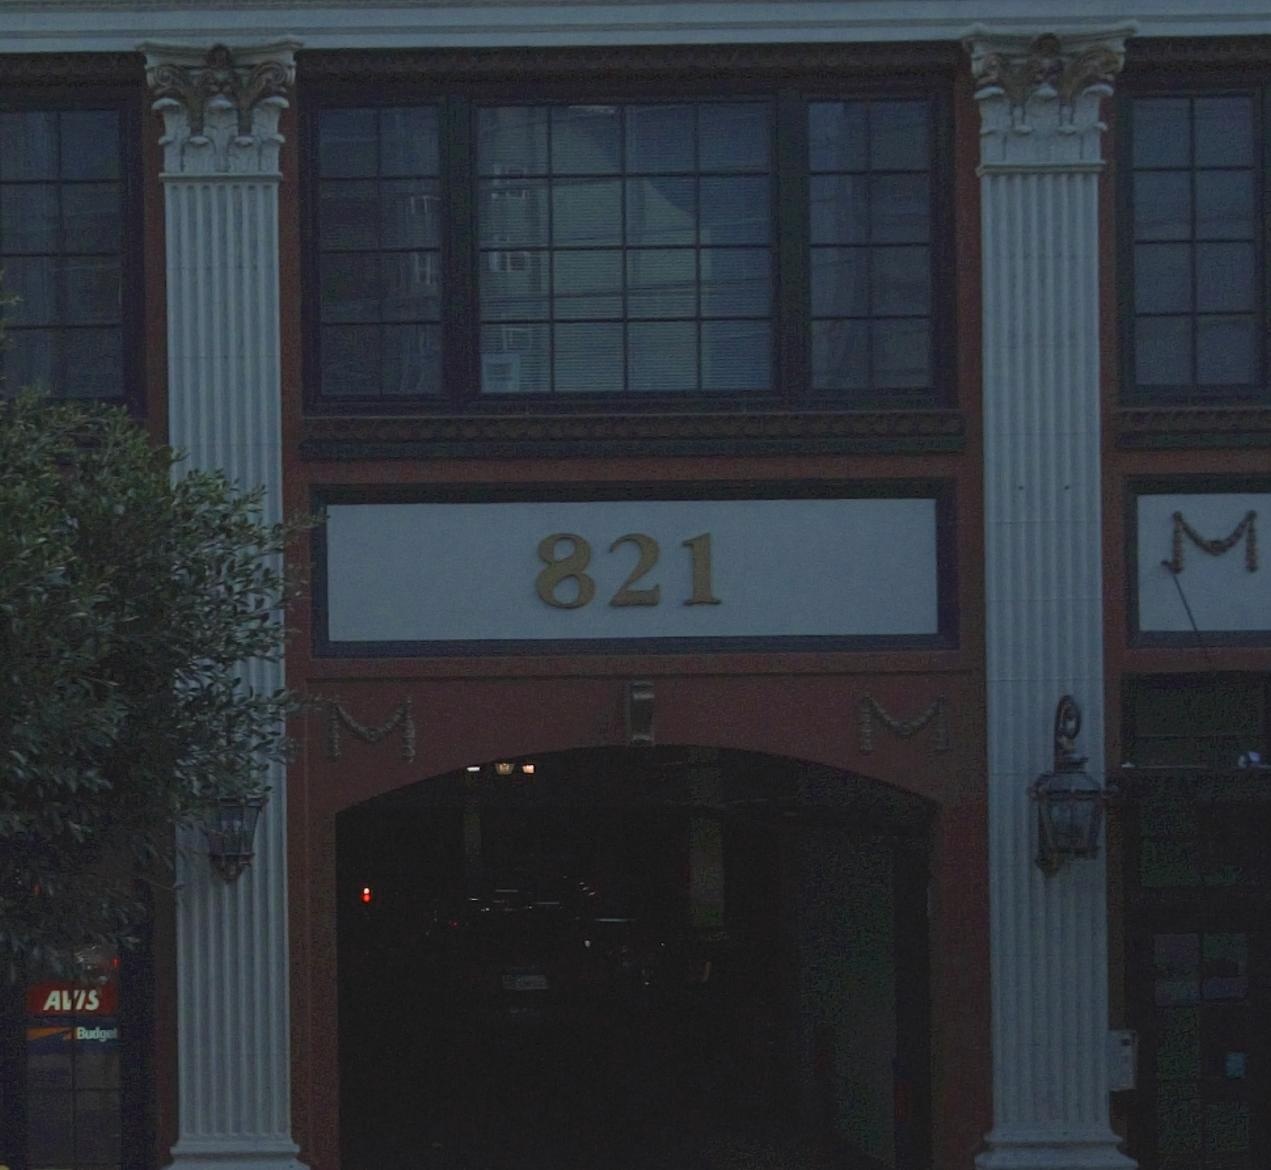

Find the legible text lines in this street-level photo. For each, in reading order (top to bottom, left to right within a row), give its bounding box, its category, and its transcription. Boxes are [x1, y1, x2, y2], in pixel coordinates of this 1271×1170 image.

[530, 531, 724, 611] StreetNumber: 821
[40, 989, 100, 1012] None: A*IS
[75, 1026, 119, 1044] None: Budget